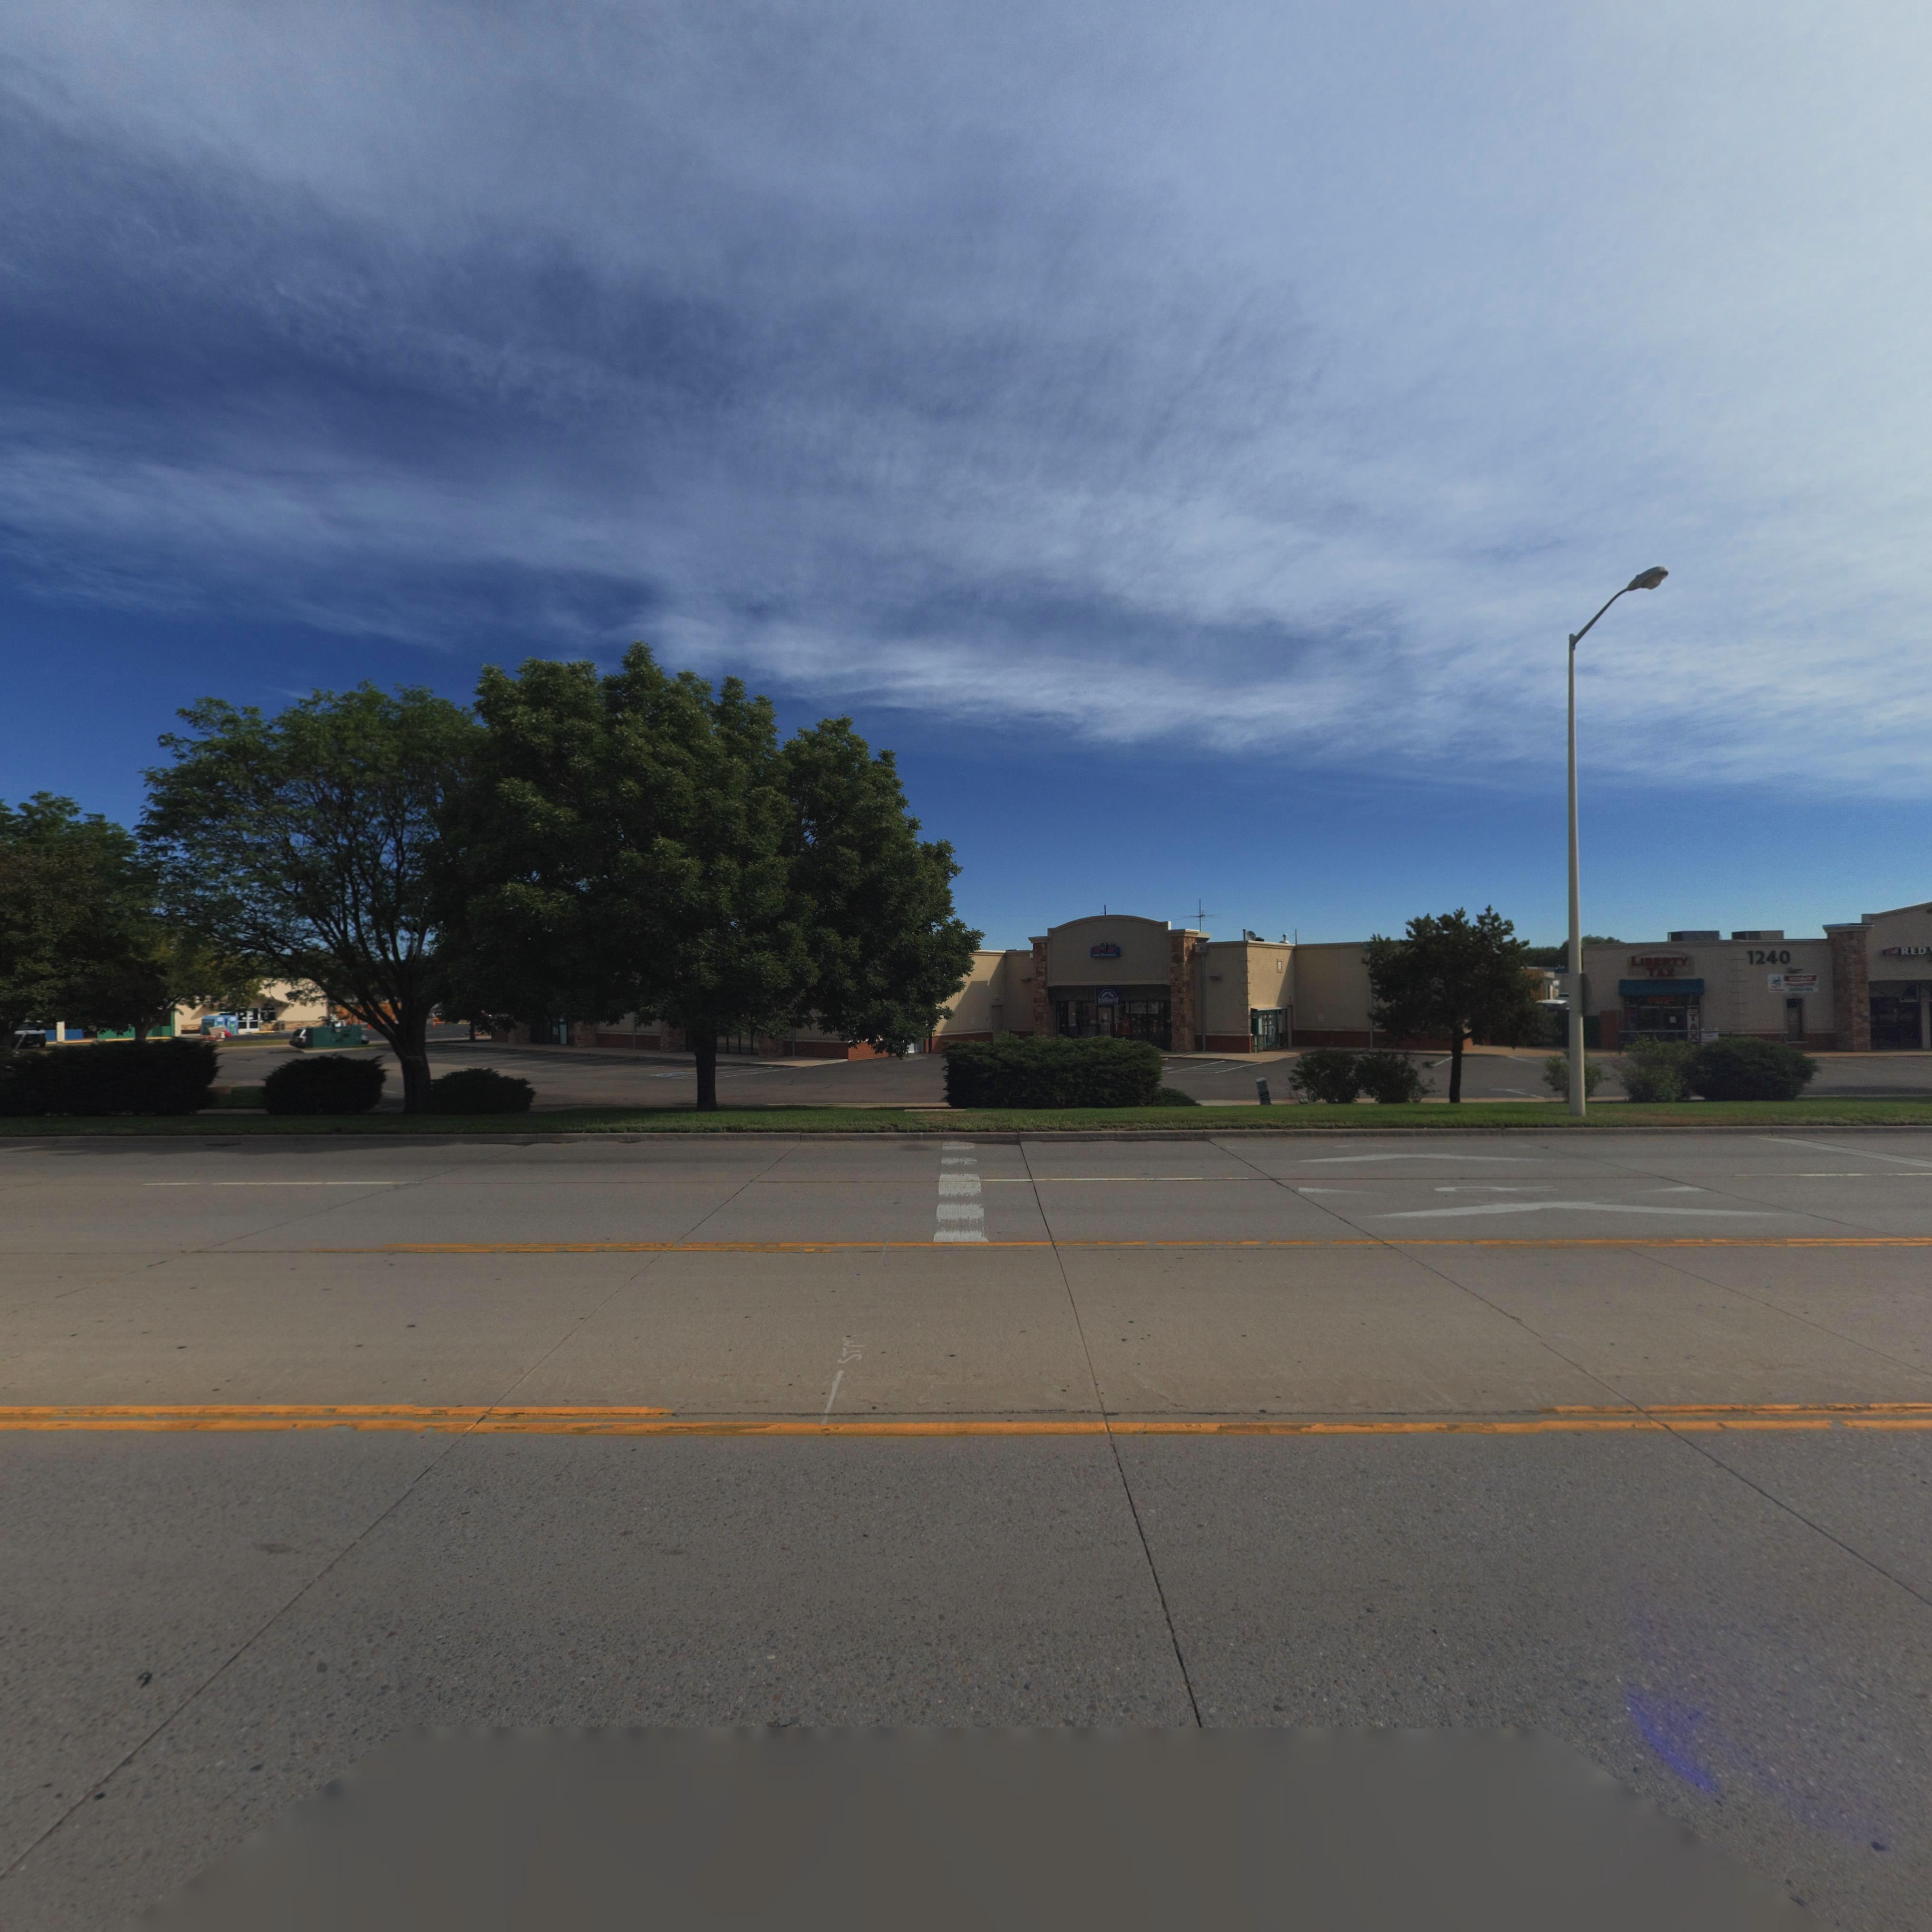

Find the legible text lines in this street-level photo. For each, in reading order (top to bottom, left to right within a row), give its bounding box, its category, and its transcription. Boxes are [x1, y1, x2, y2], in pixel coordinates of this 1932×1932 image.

[1108, 947, 1114, 953] BusinessName: D
[1900, 947, 1925, 955] BusinessName: RED
[1631, 956, 1689, 966] BusinessName: LIBERTY
[1746, 949, 1792, 965] StreetNumber: 1240
[1645, 967, 1675, 977] BusinessName: TAX
[1688, 1014, 1699, 1041] BusinessName: TAX